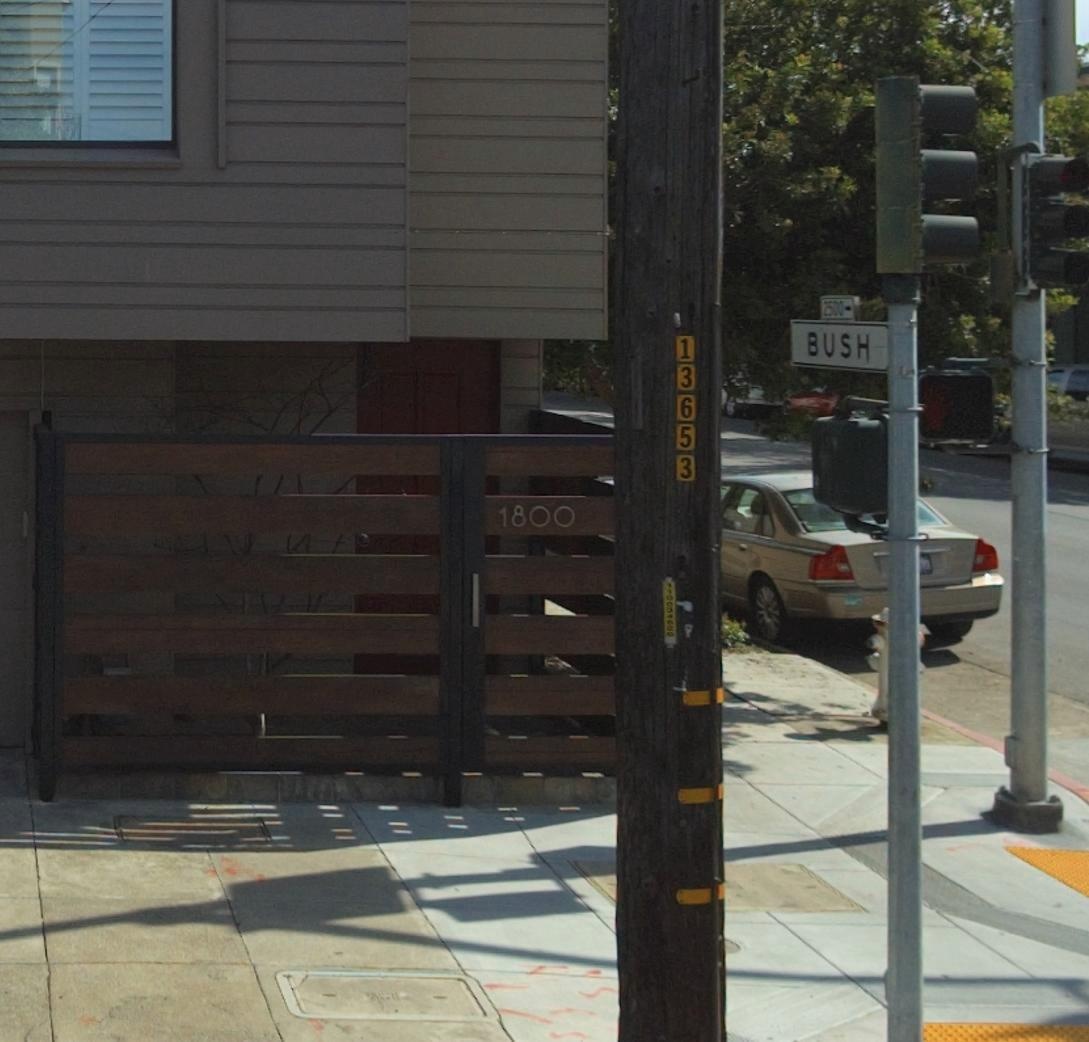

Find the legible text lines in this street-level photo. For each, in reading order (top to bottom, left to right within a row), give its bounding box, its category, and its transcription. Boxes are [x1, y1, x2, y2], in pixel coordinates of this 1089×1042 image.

[821, 297, 855, 320] StreetNumberRange: 2500->
[805, 329, 872, 364] StreetName: BUSH
[677, 335, 695, 483] None: 13653
[497, 503, 577, 530] StreetNumber: 1800
[663, 578, 678, 639] None: 1100*4***